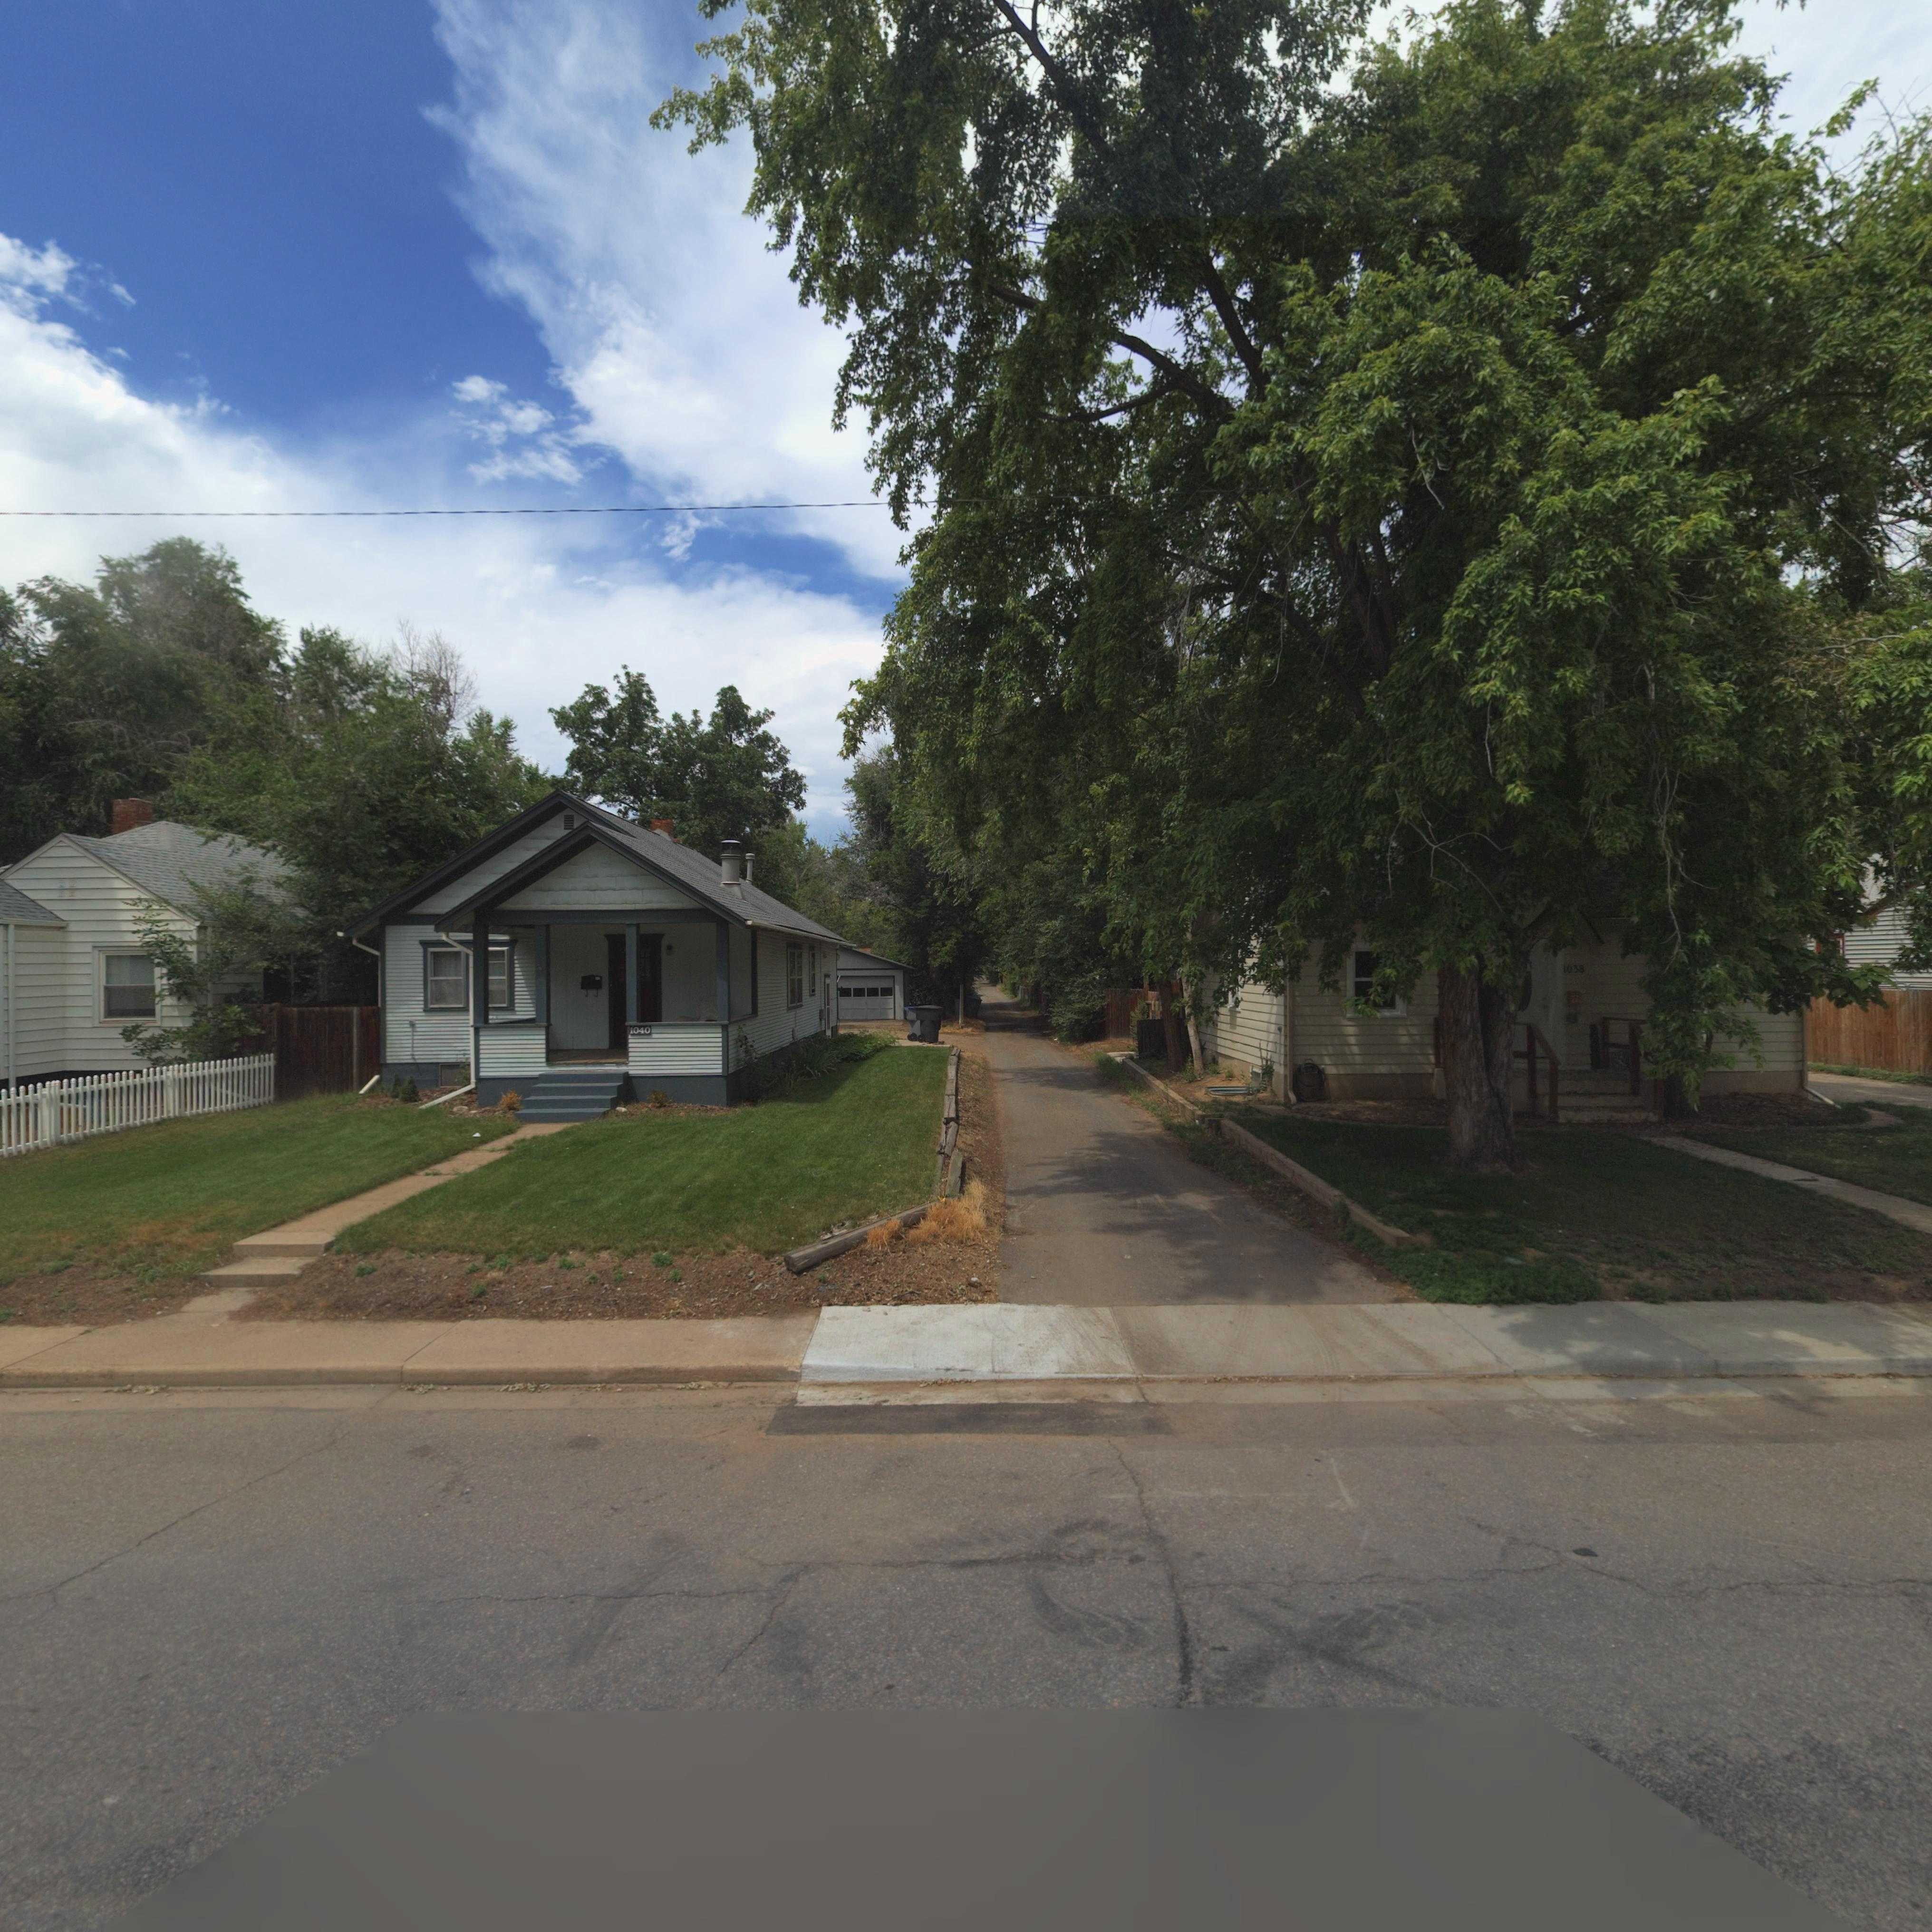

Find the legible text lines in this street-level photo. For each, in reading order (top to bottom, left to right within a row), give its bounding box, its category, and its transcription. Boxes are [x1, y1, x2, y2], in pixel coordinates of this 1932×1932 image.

[1562, 964, 1585, 974] StreetNumber: 1038
[629, 1026, 651, 1034] StreetNumber: 1040